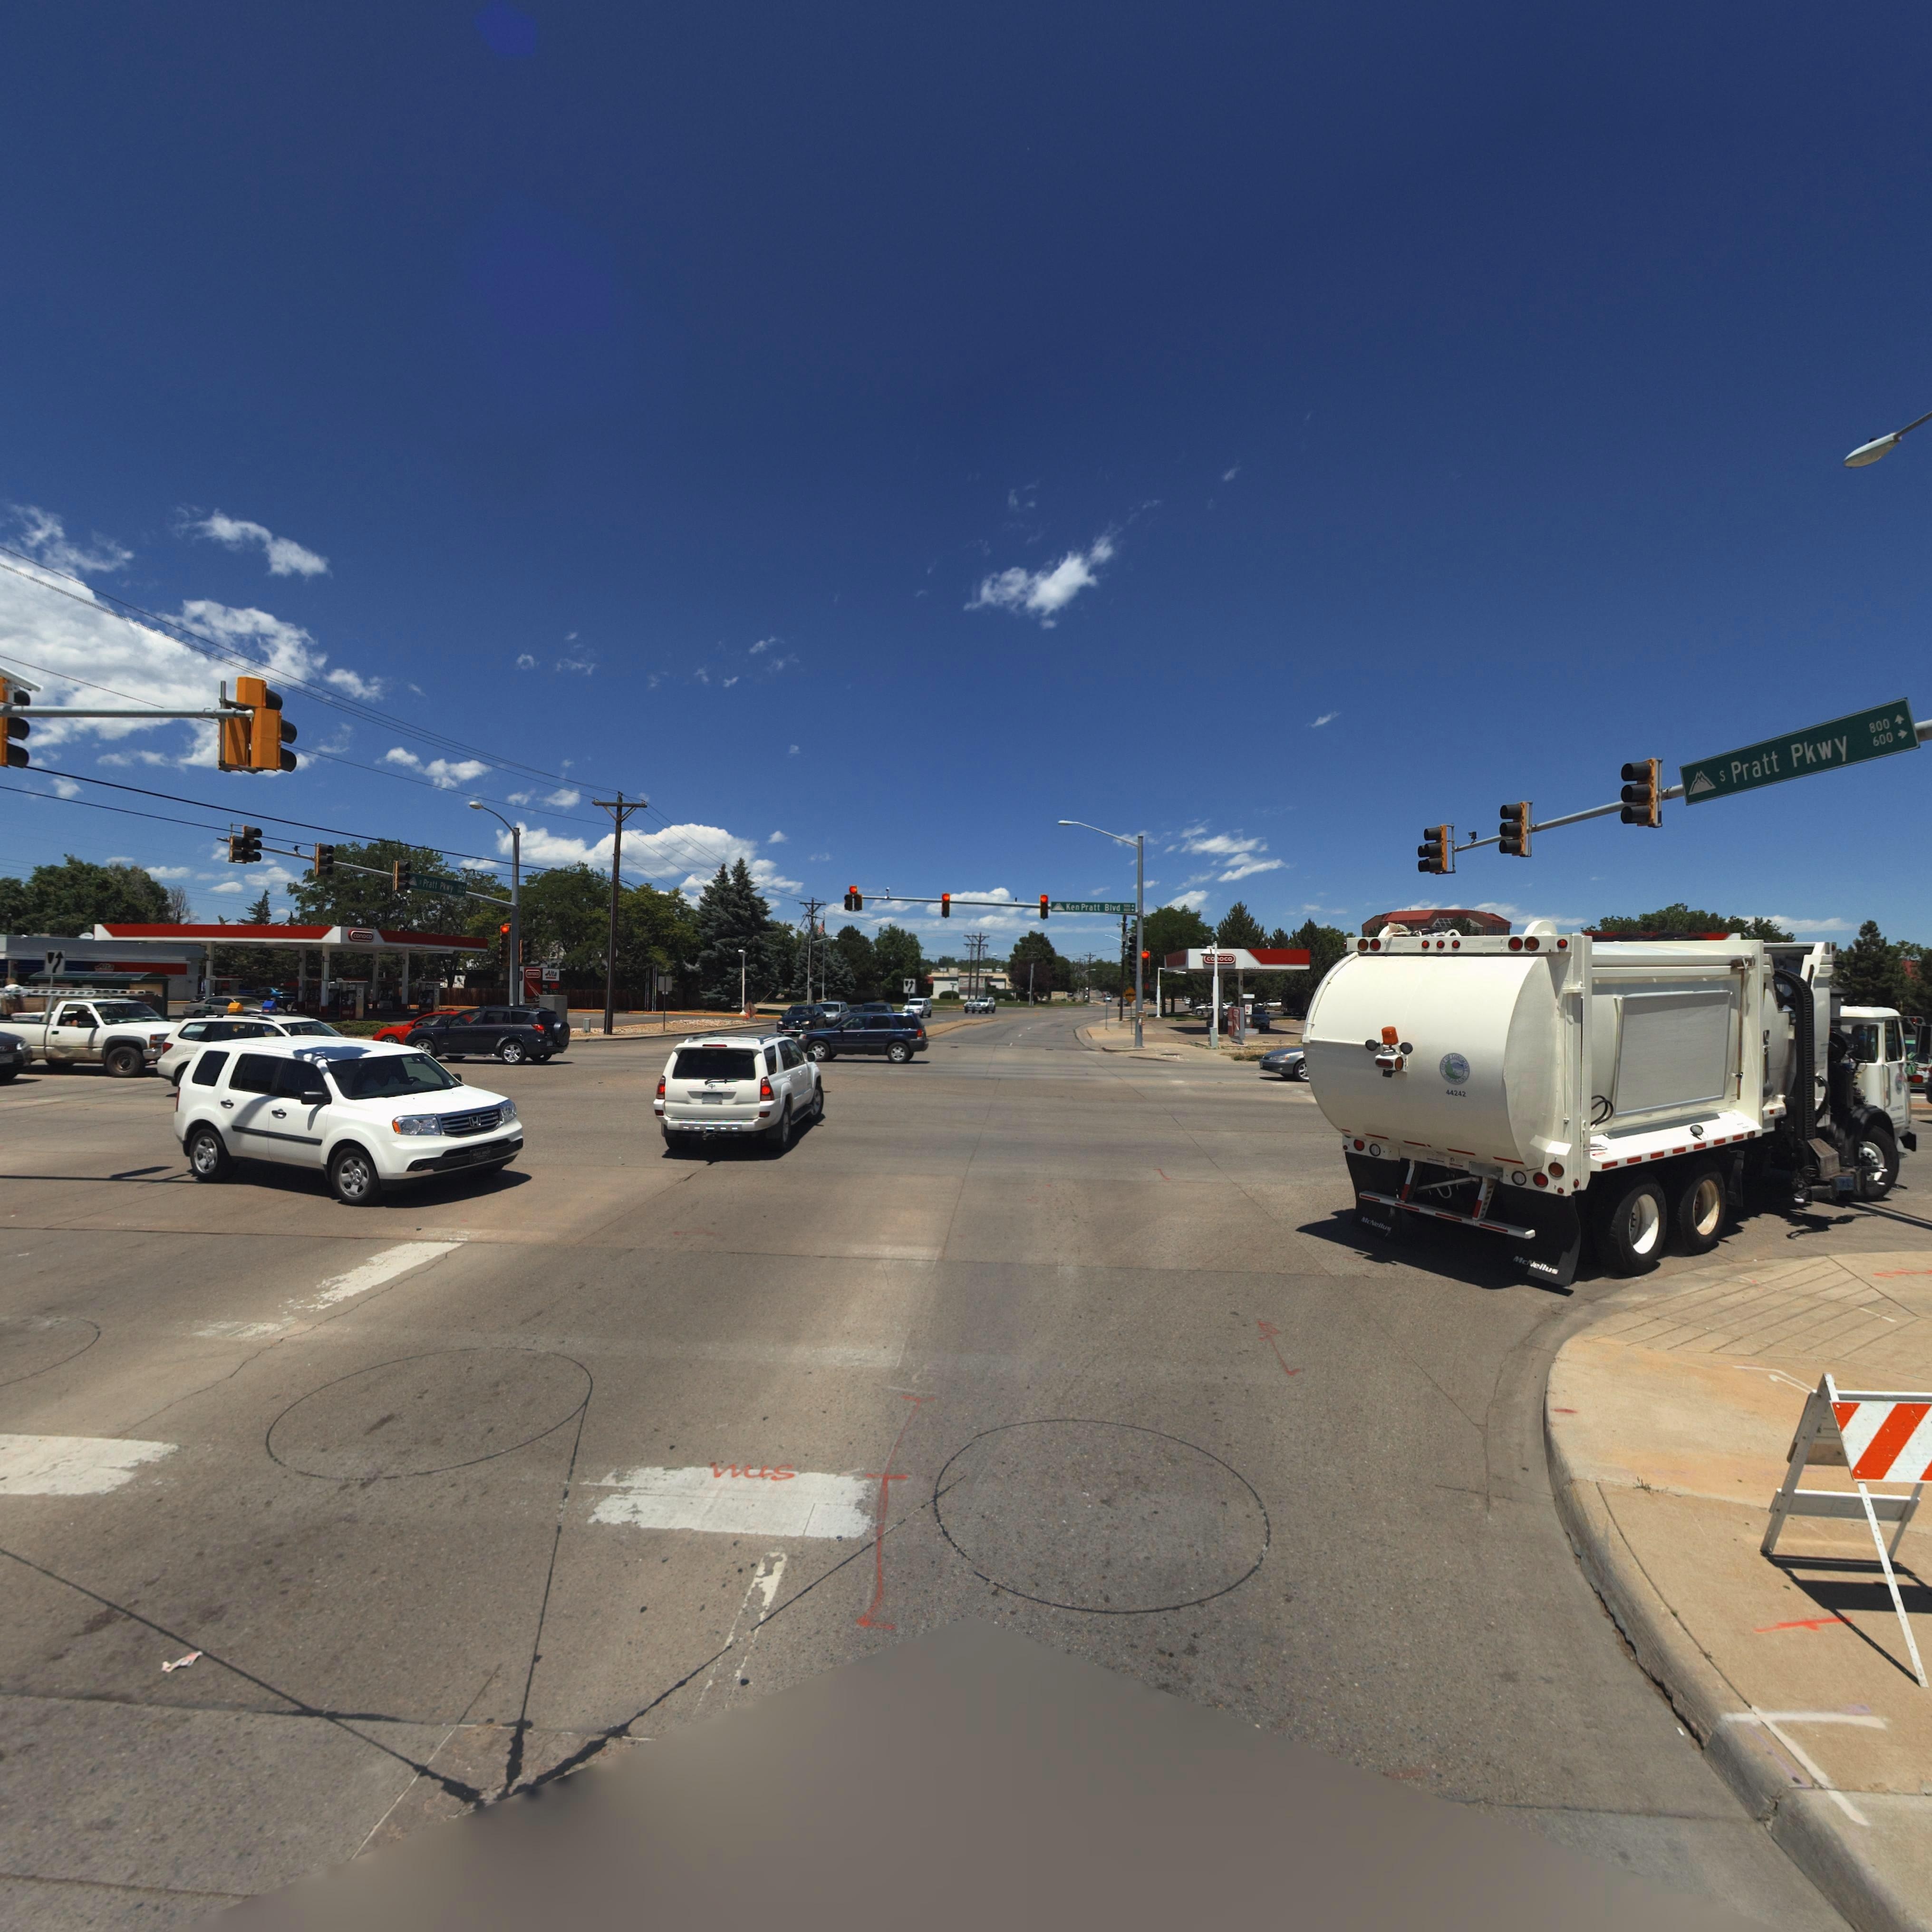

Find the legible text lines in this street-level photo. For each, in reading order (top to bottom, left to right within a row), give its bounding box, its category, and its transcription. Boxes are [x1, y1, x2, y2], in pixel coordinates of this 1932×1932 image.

[1868, 717, 1891, 734] StreetNumberRange: 800
[1872, 728, 1909, 747] StreetNumberRange: 600->
[1718, 734, 1848, 784] StreetName: s Pratt Pkwy
[418, 878, 454, 893] StreetName: * Pratt Pkwy
[1065, 903, 1120, 911] StreetName: Ken Pratt Blvd
[353, 933, 372, 939] BusinessName: conoco
[1206, 956, 1233, 961] BusinessName: co*oco